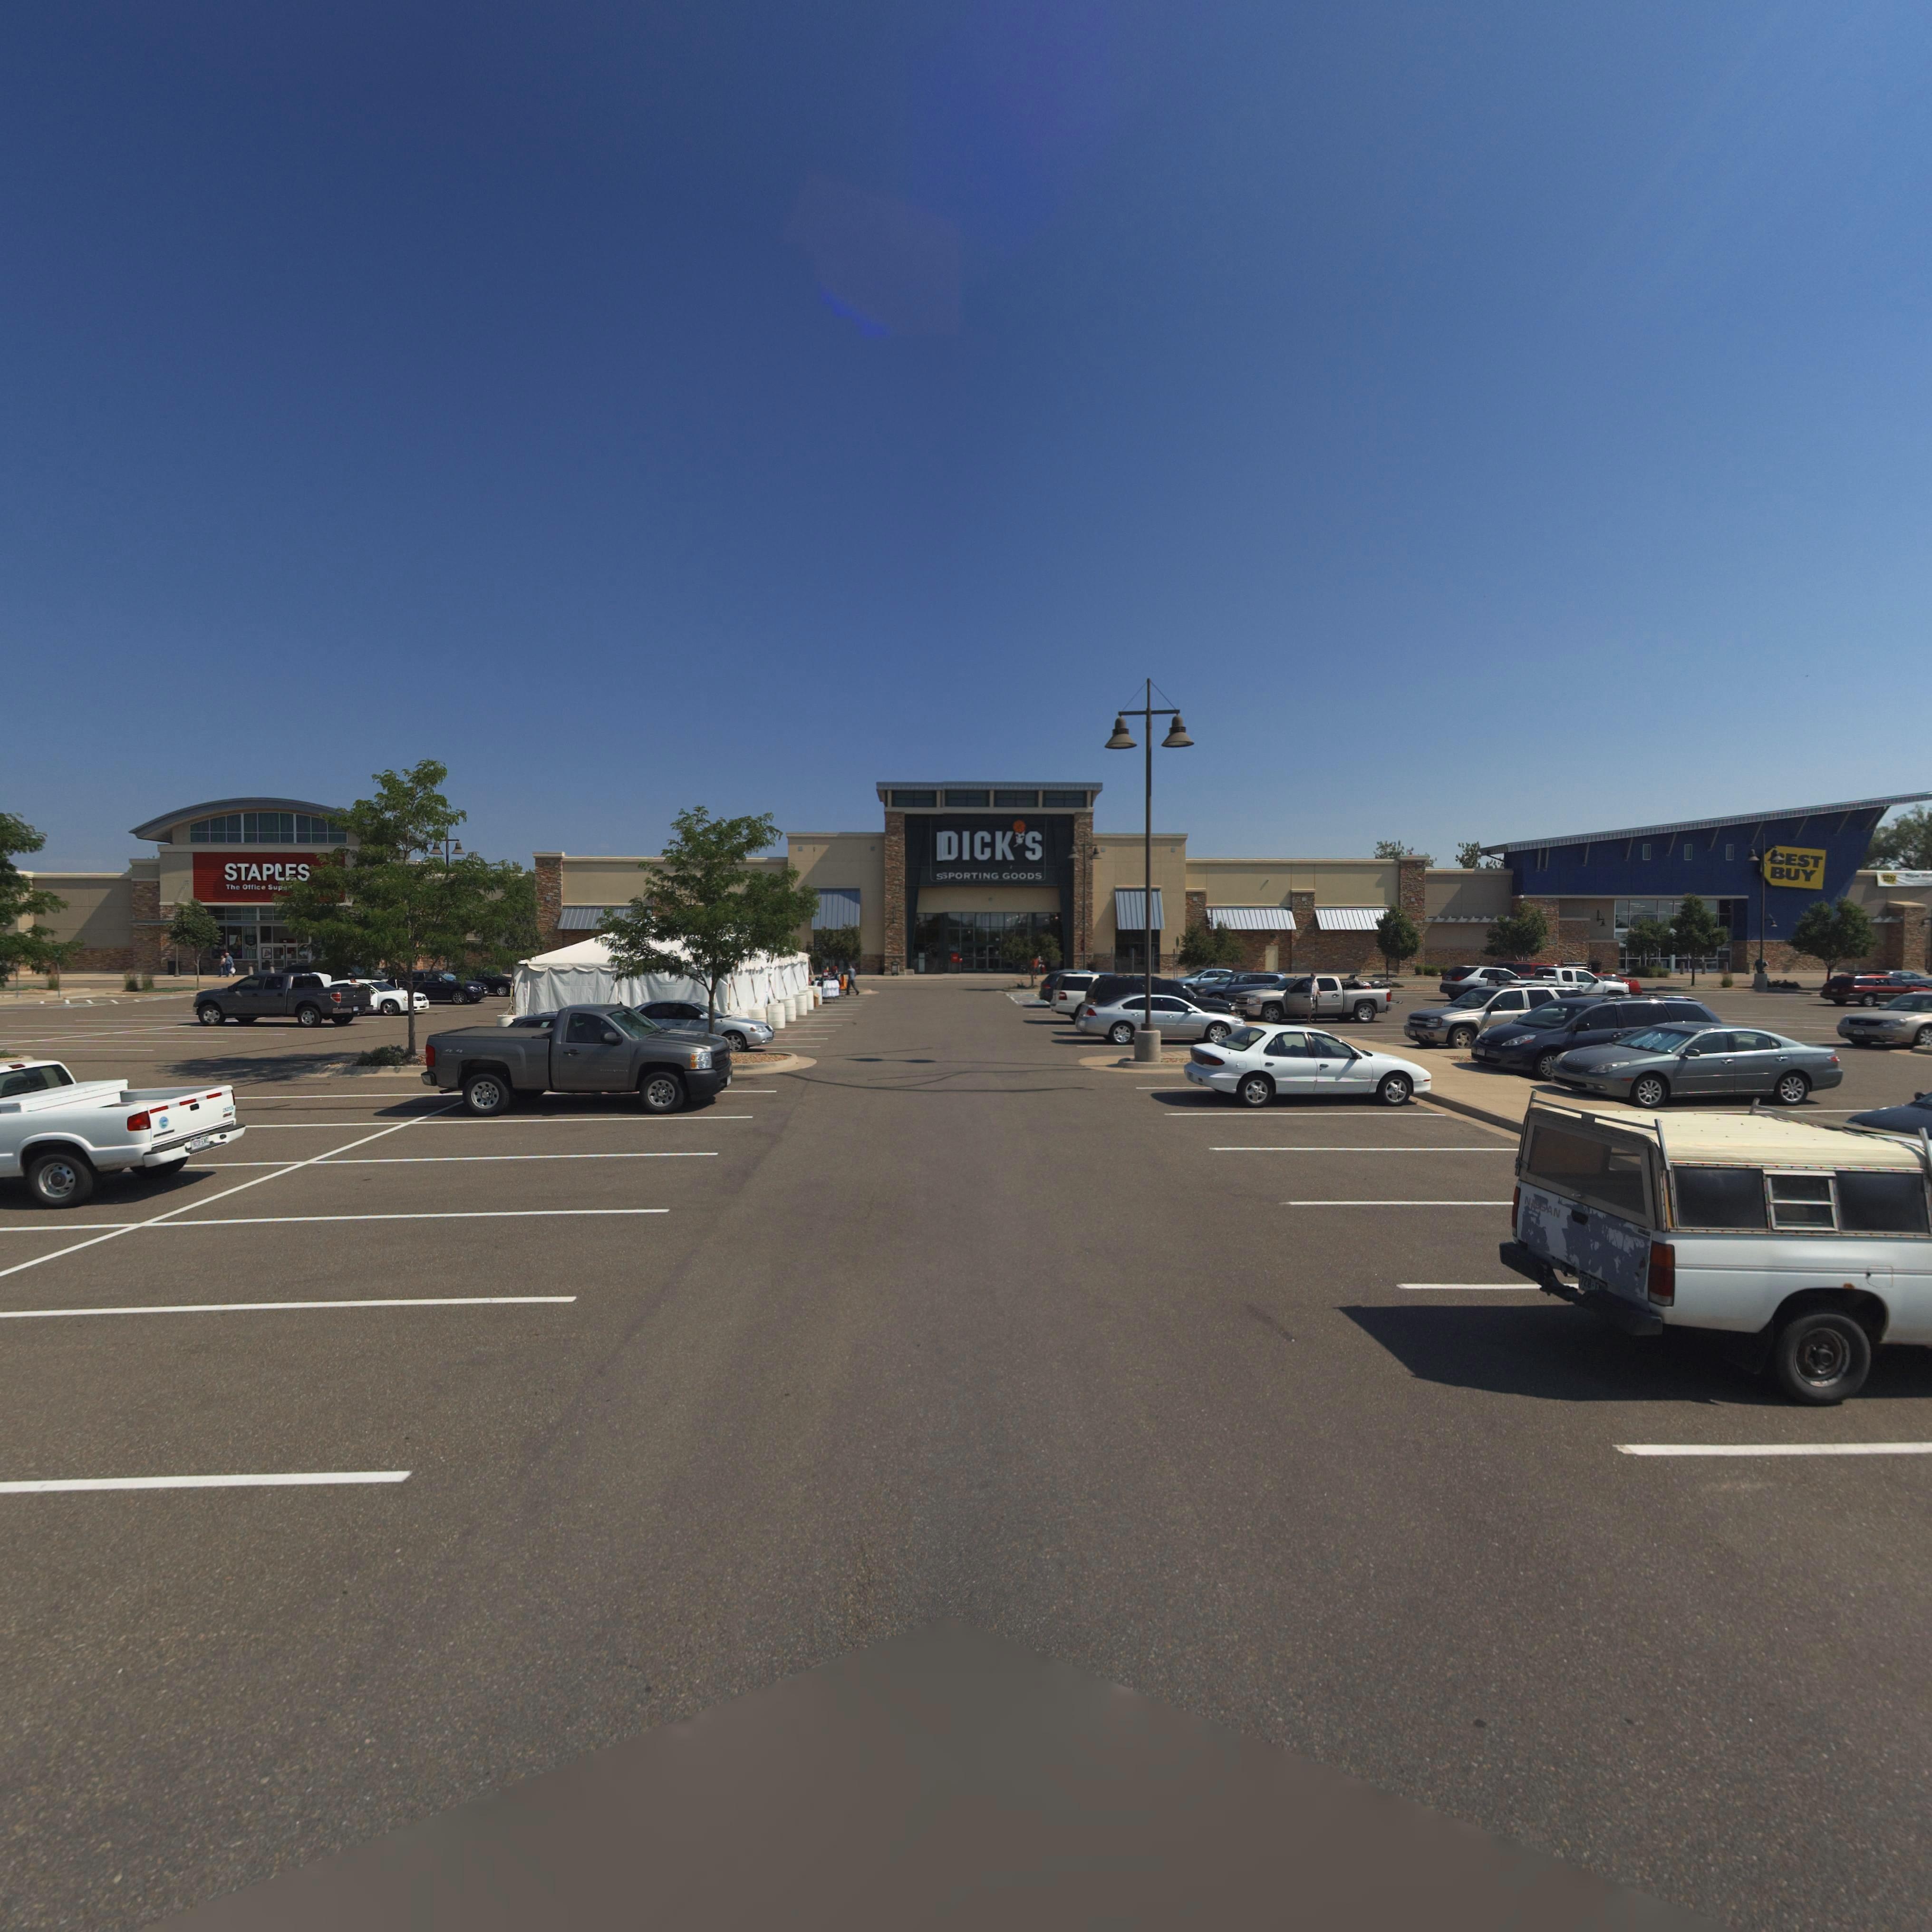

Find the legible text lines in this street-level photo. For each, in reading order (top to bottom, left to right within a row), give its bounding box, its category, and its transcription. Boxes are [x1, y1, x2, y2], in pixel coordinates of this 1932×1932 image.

[941, 831, 1043, 860] BusinessName: DICK*S
[1770, 851, 1822, 868] None: *EST
[223, 862, 310, 881] BusinessName: STAPLES
[1770, 866, 1816, 881] BusinessName: BUY